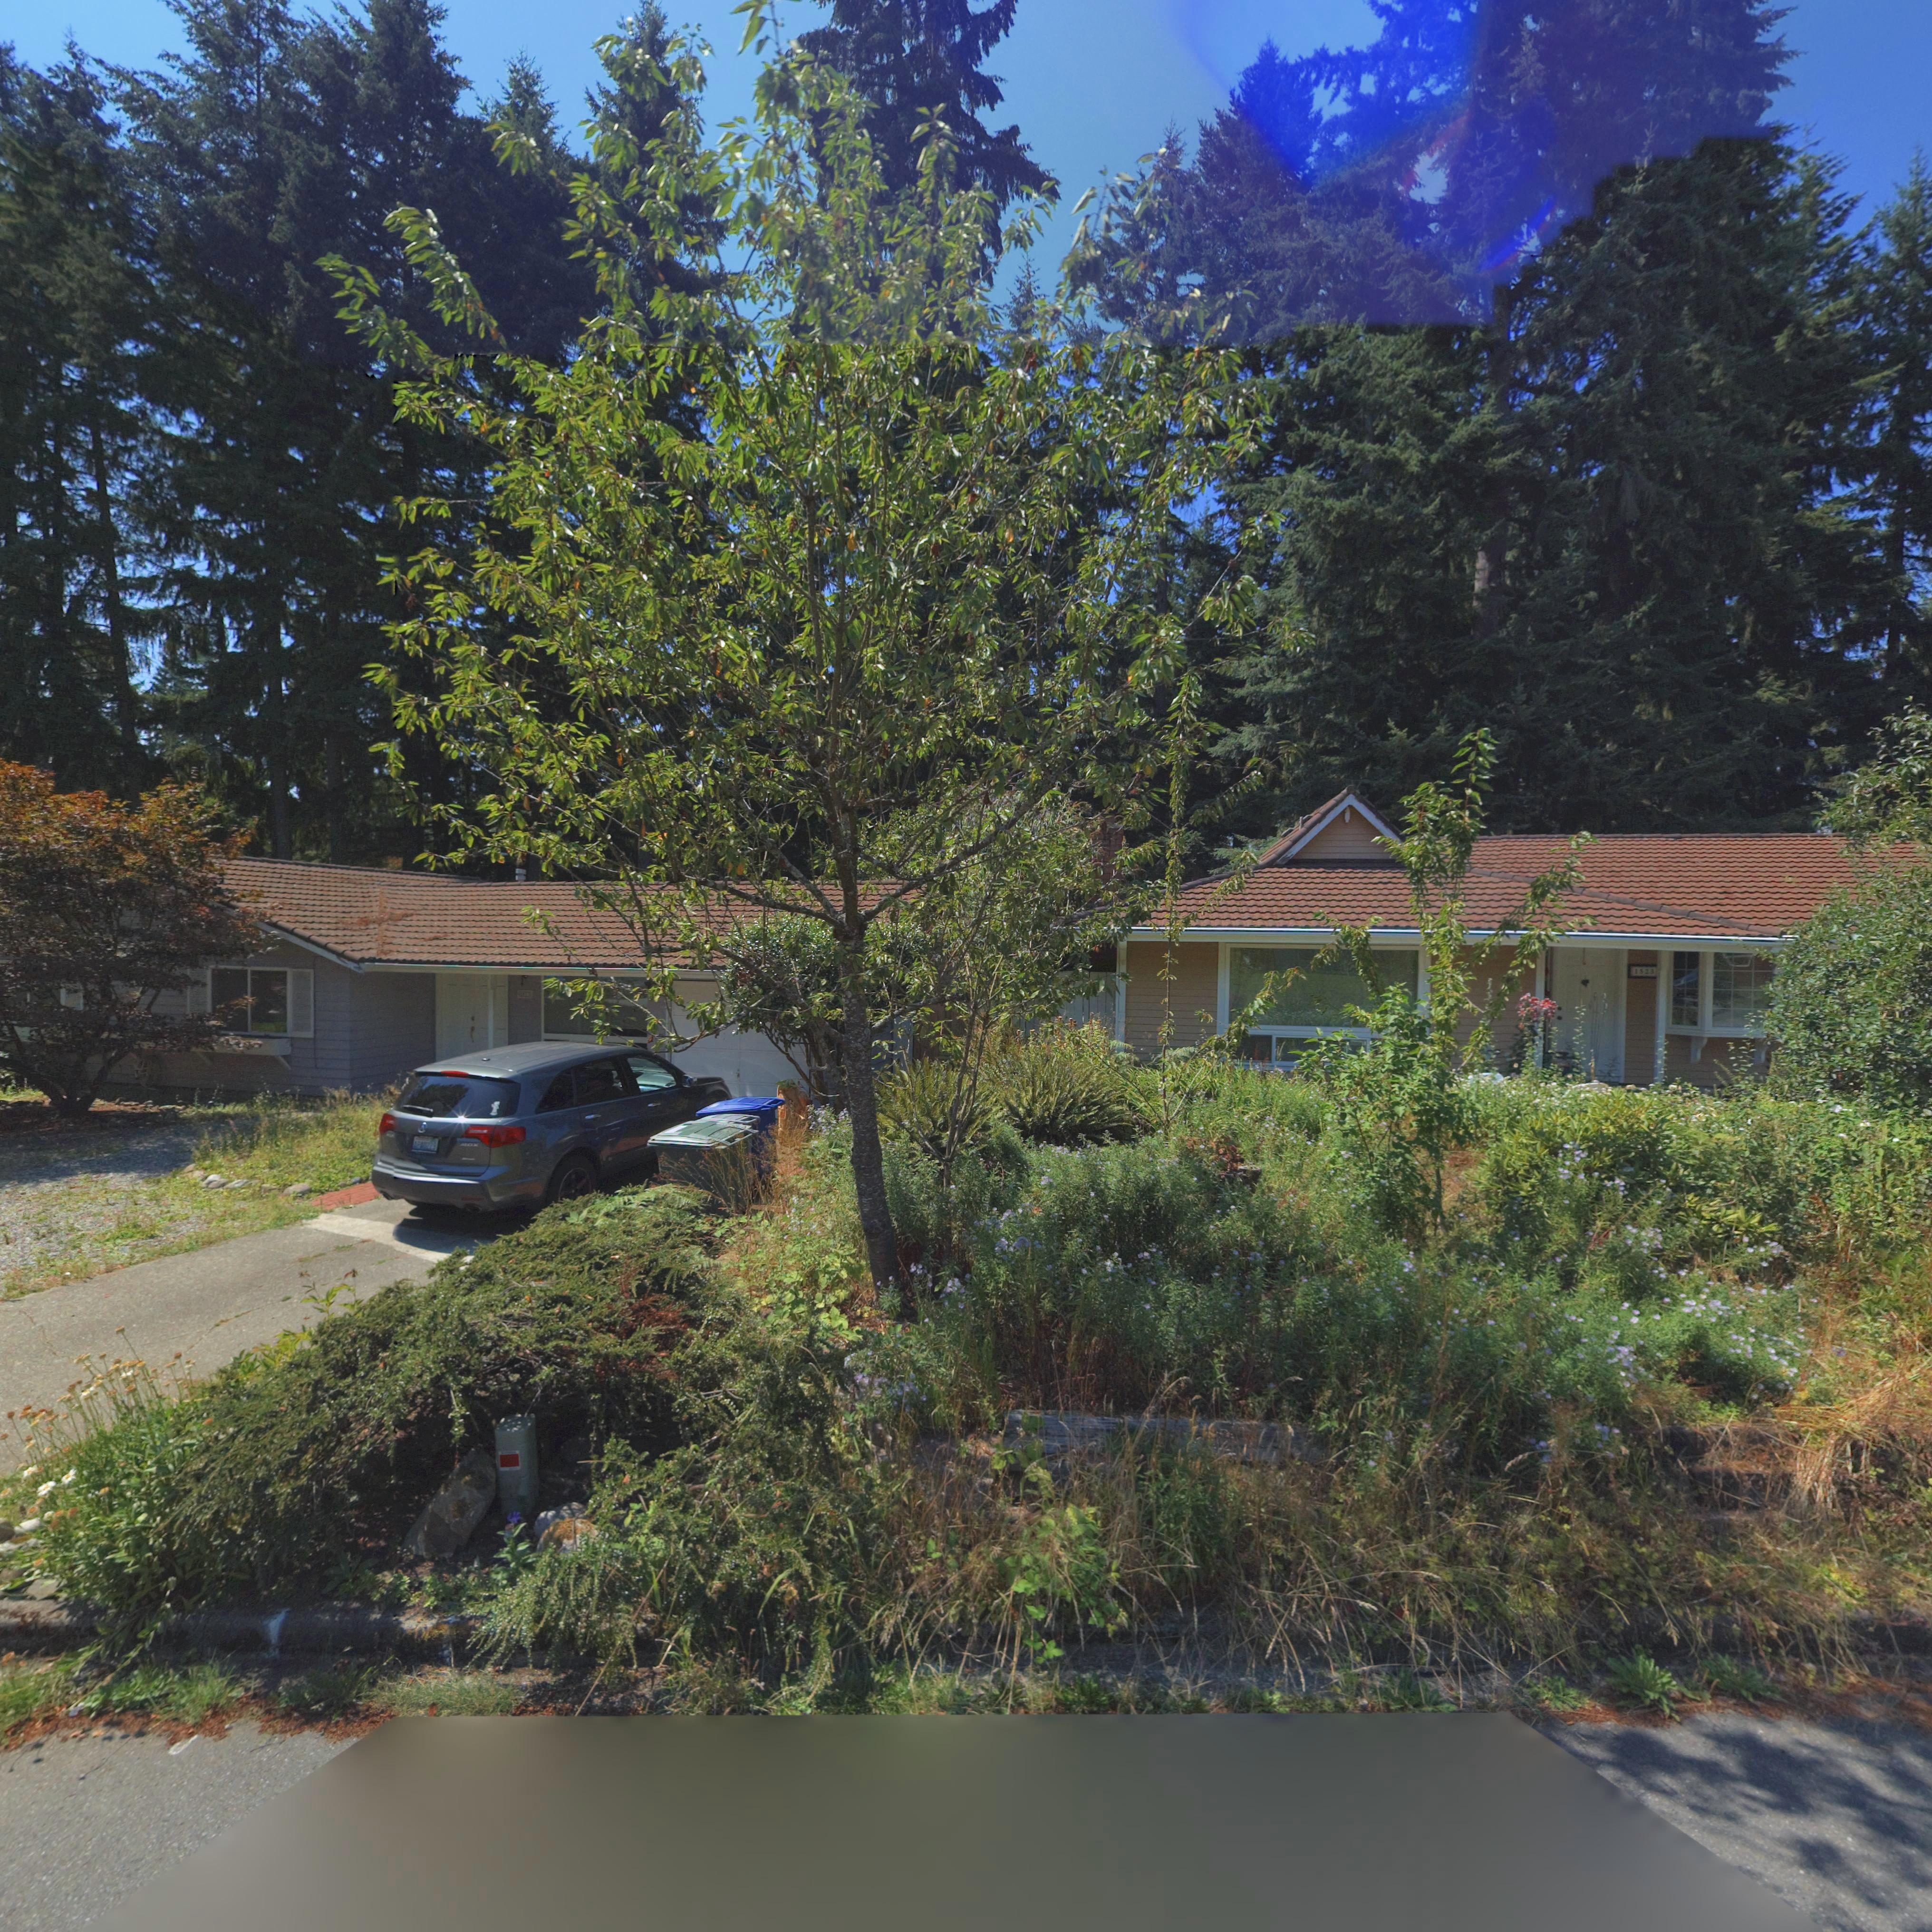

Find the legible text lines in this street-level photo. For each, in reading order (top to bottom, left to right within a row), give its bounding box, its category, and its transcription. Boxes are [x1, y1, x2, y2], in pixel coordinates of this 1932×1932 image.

[1633, 967, 1656, 975] StreetNumber: 1523